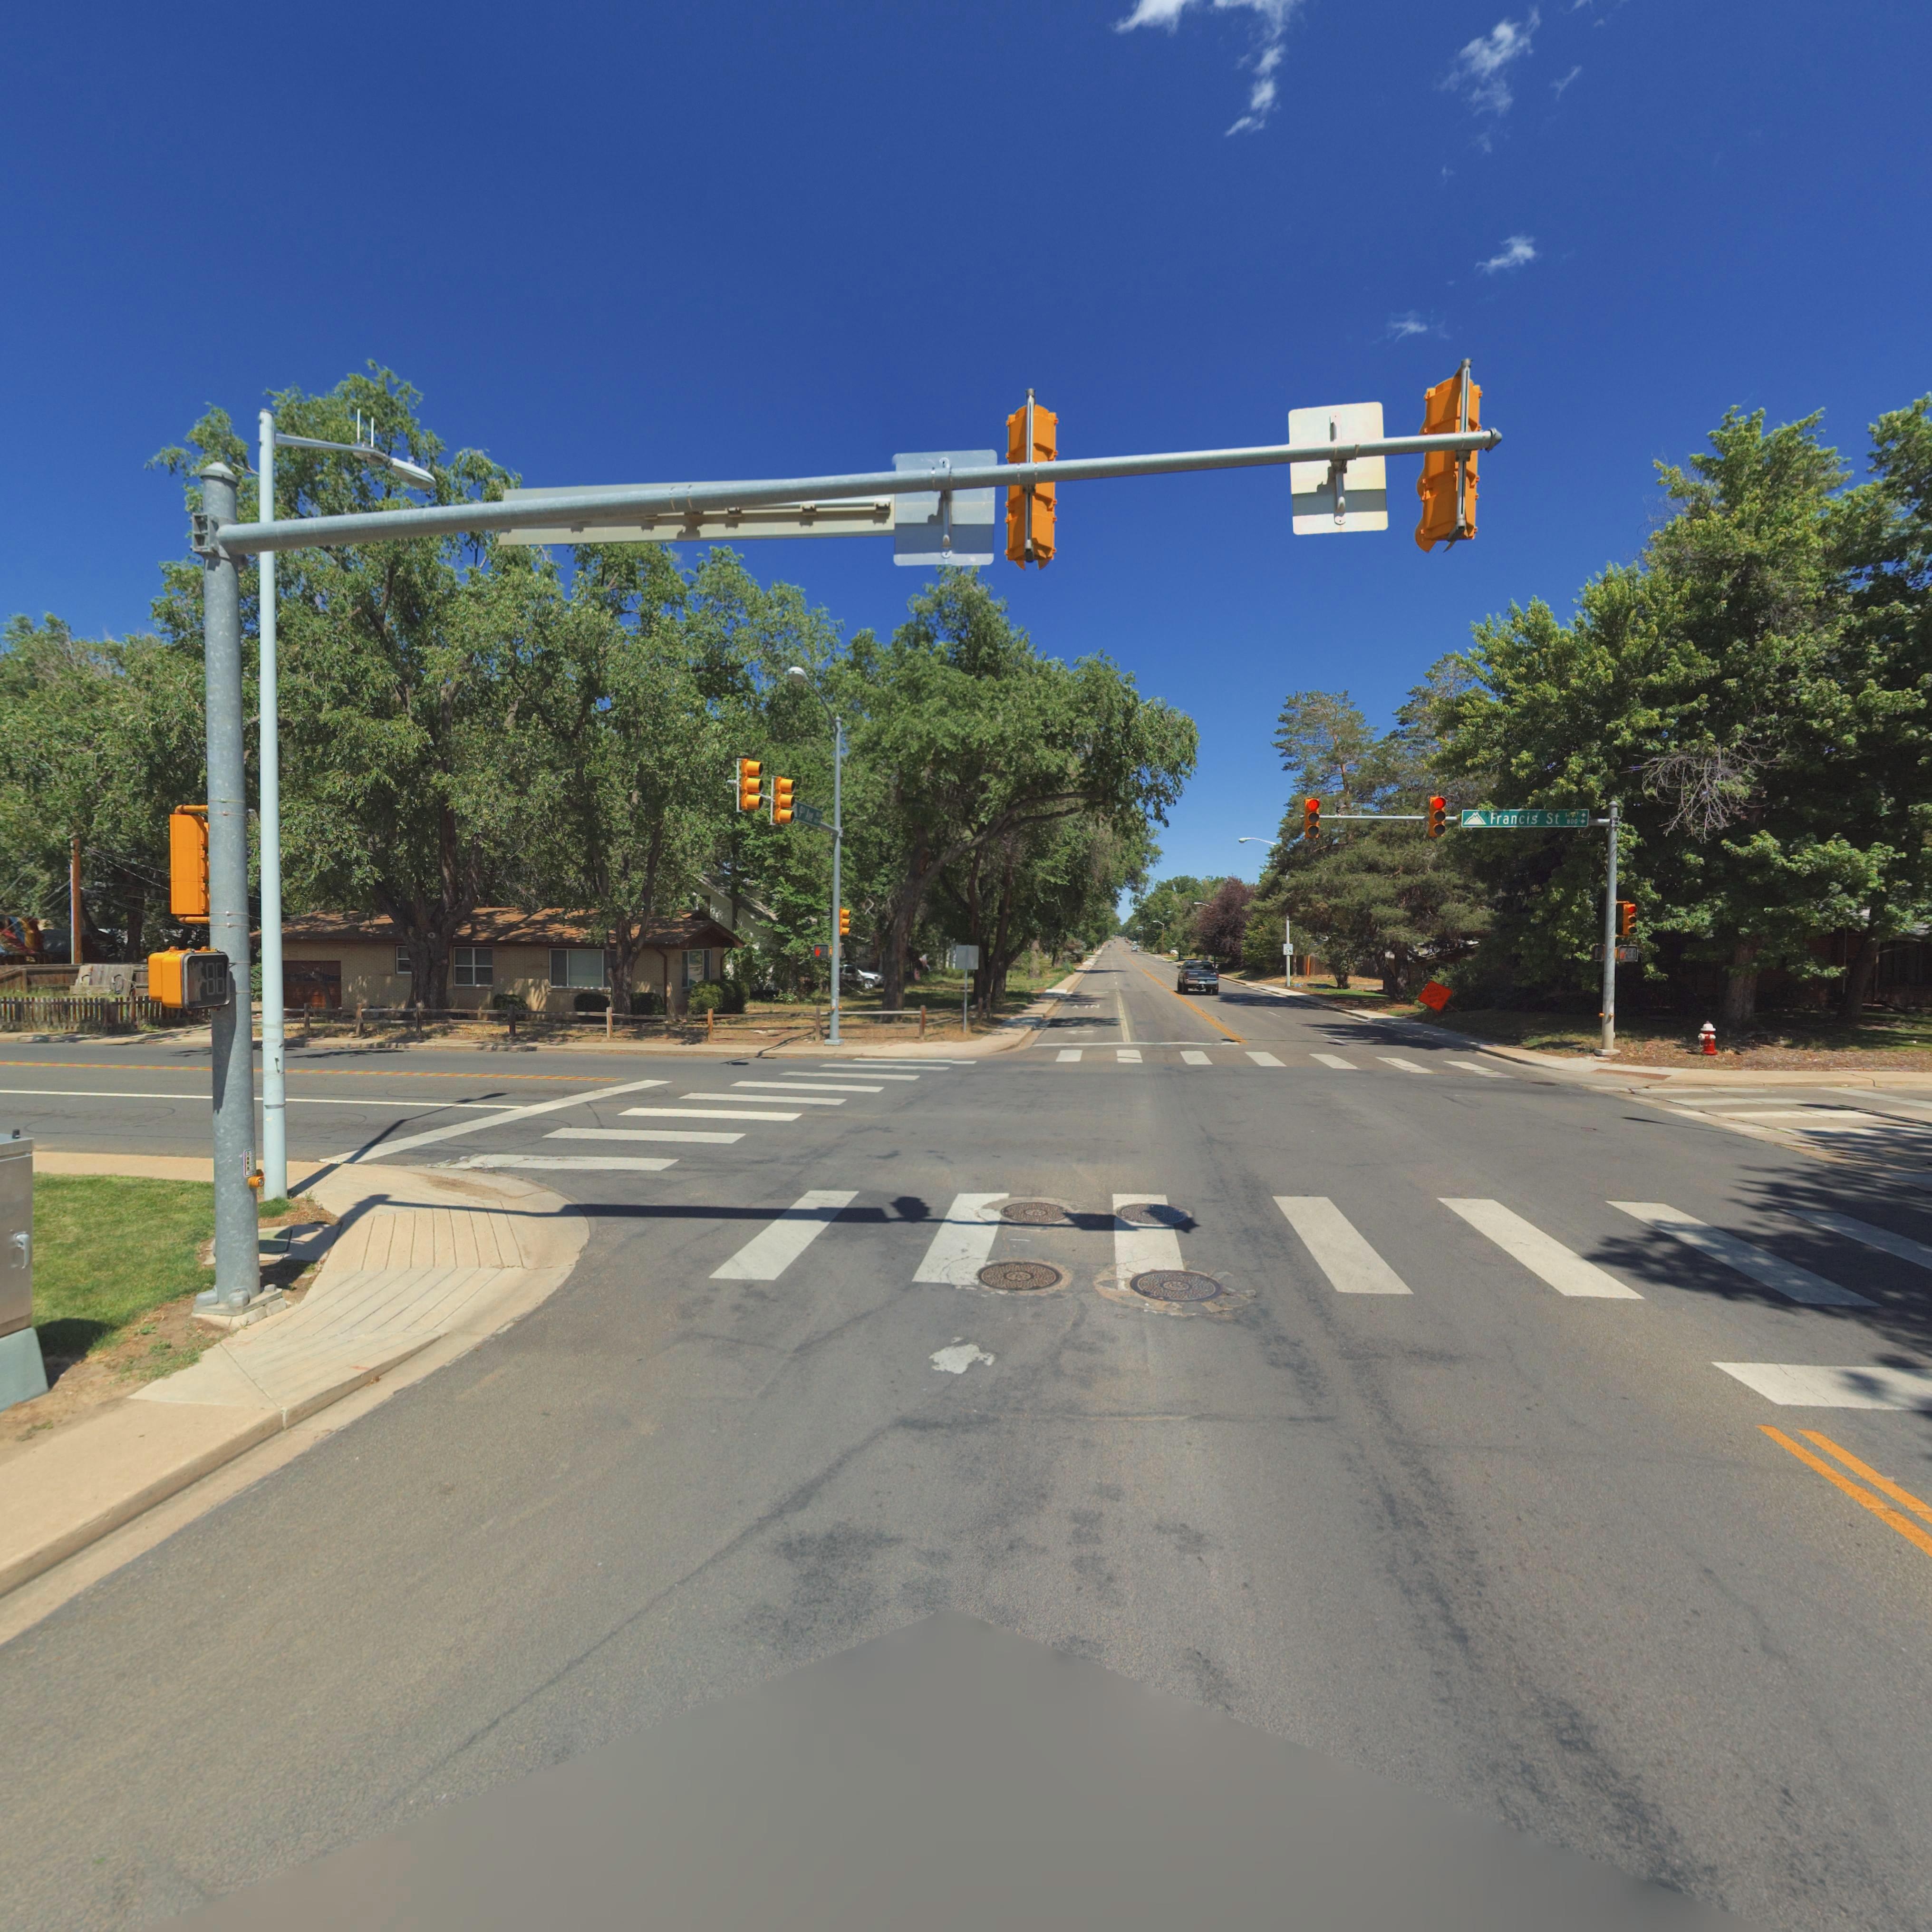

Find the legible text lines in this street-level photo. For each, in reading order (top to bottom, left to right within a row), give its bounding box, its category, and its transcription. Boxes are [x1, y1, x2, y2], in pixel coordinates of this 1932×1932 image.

[798, 805, 814, 822] StreetName: 9** A*e
[1490, 812, 1559, 824] StreetName: Francis St
[1565, 811, 1579, 818] StreetNumberRange: 14**
[1566, 818, 1586, 824] StreetNumberRange: 800*